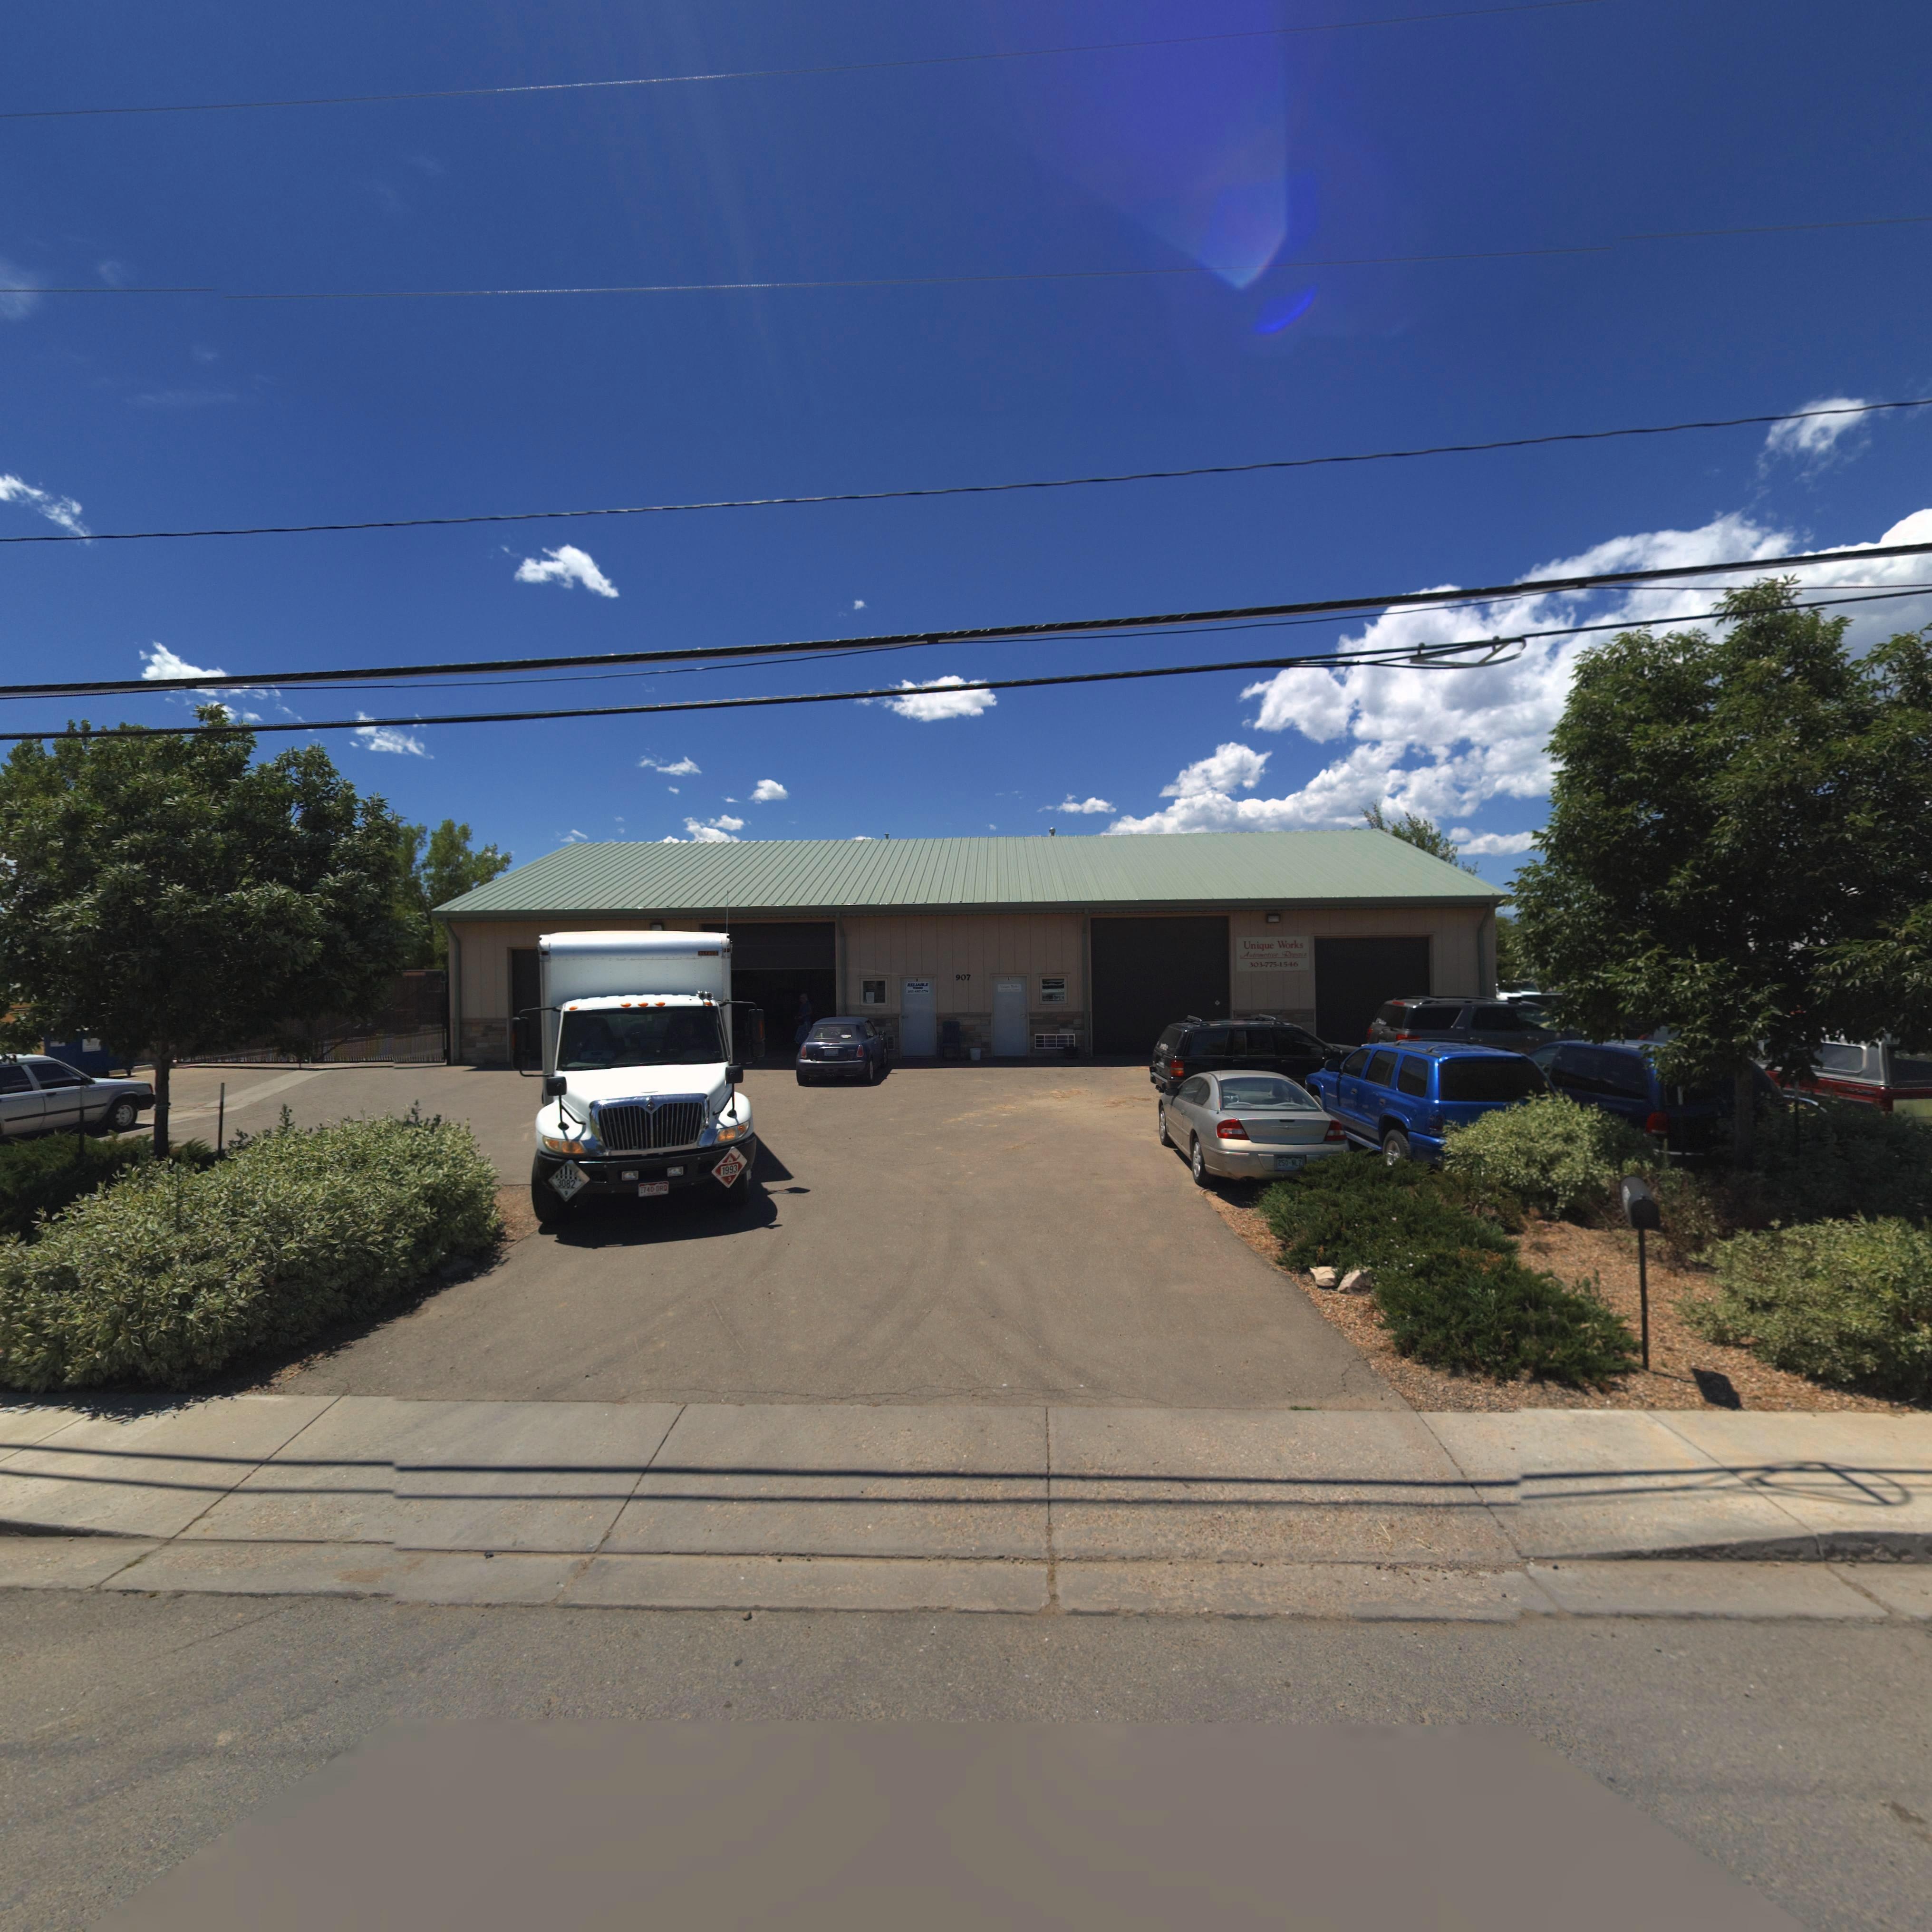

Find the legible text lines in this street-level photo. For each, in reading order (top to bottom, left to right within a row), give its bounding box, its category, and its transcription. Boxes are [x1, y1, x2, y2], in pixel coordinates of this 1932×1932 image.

[1243, 939, 1304, 951] BusinessName: Unique Works
[955, 974, 971, 981] StreetNumber: 907
[907, 982, 929, 987] BusinessName: RELIABLE
[1000, 985, 1019, 989] BusinessName: U***** W****